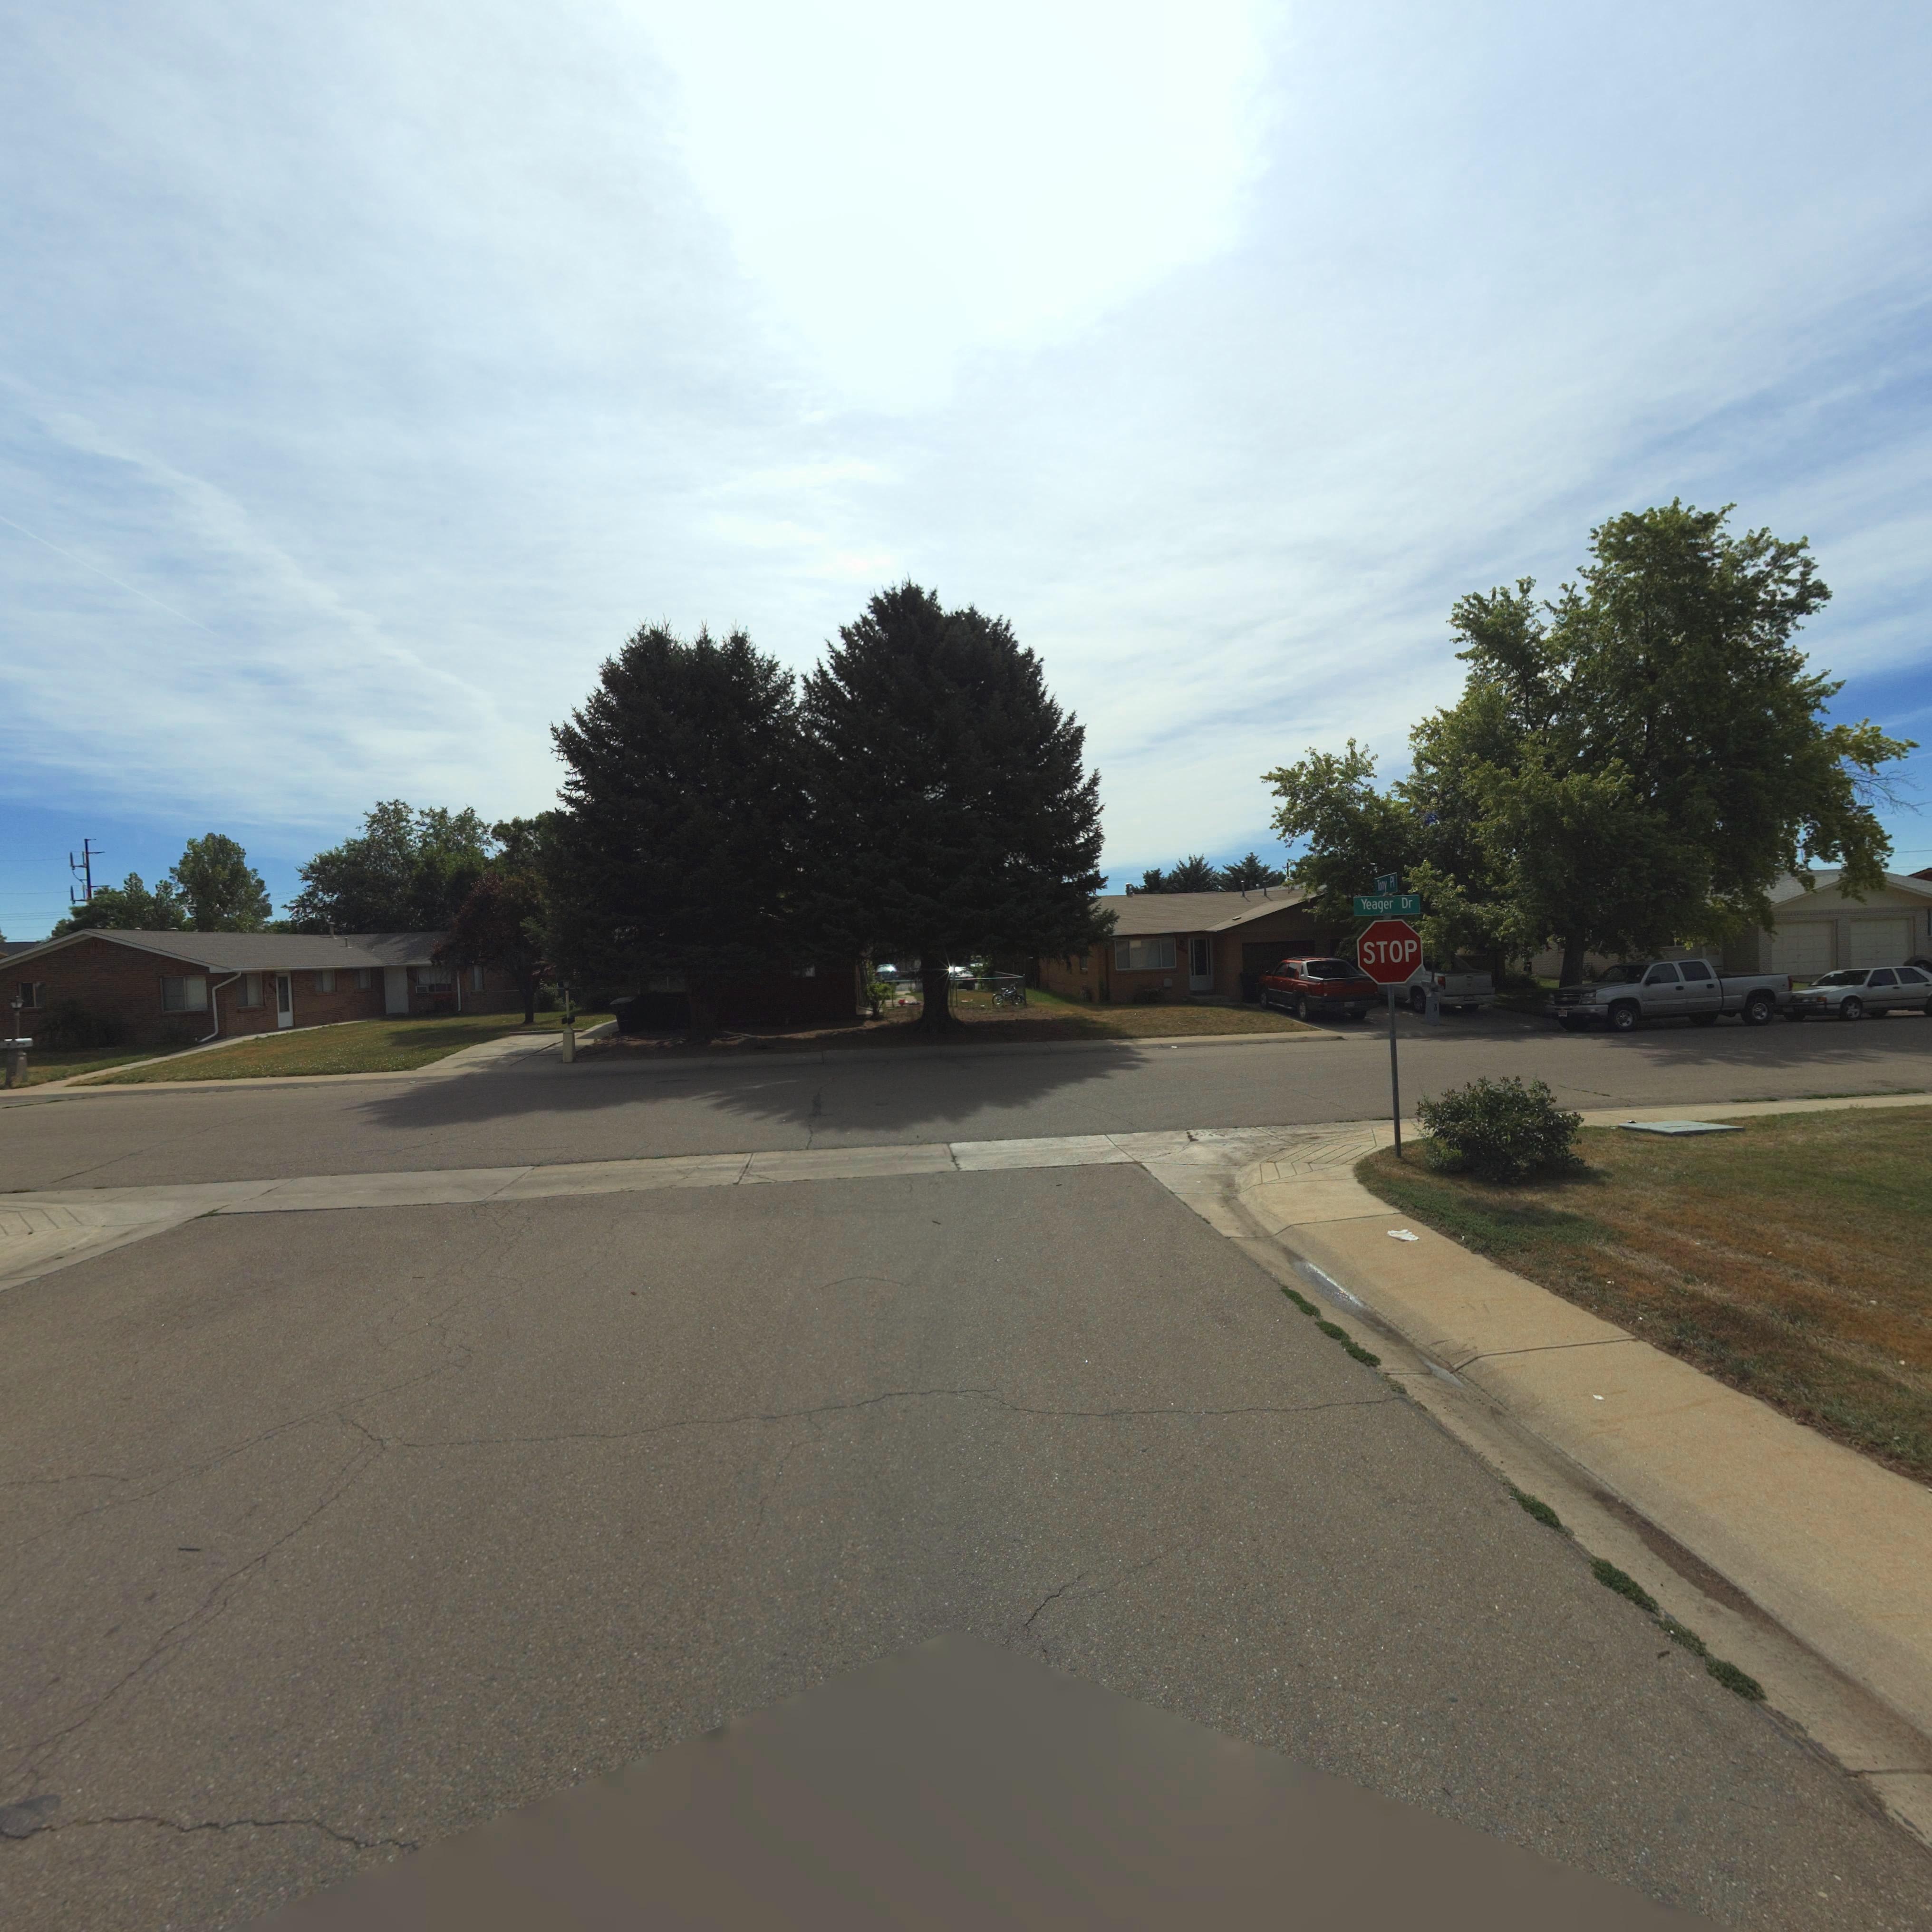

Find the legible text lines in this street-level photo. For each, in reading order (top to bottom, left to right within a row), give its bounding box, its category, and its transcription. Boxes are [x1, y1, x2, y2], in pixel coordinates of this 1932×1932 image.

[1376, 875, 1394, 892] StreetName: Tony Pl
[1360, 897, 1413, 913] StreetName: Yeager Dr